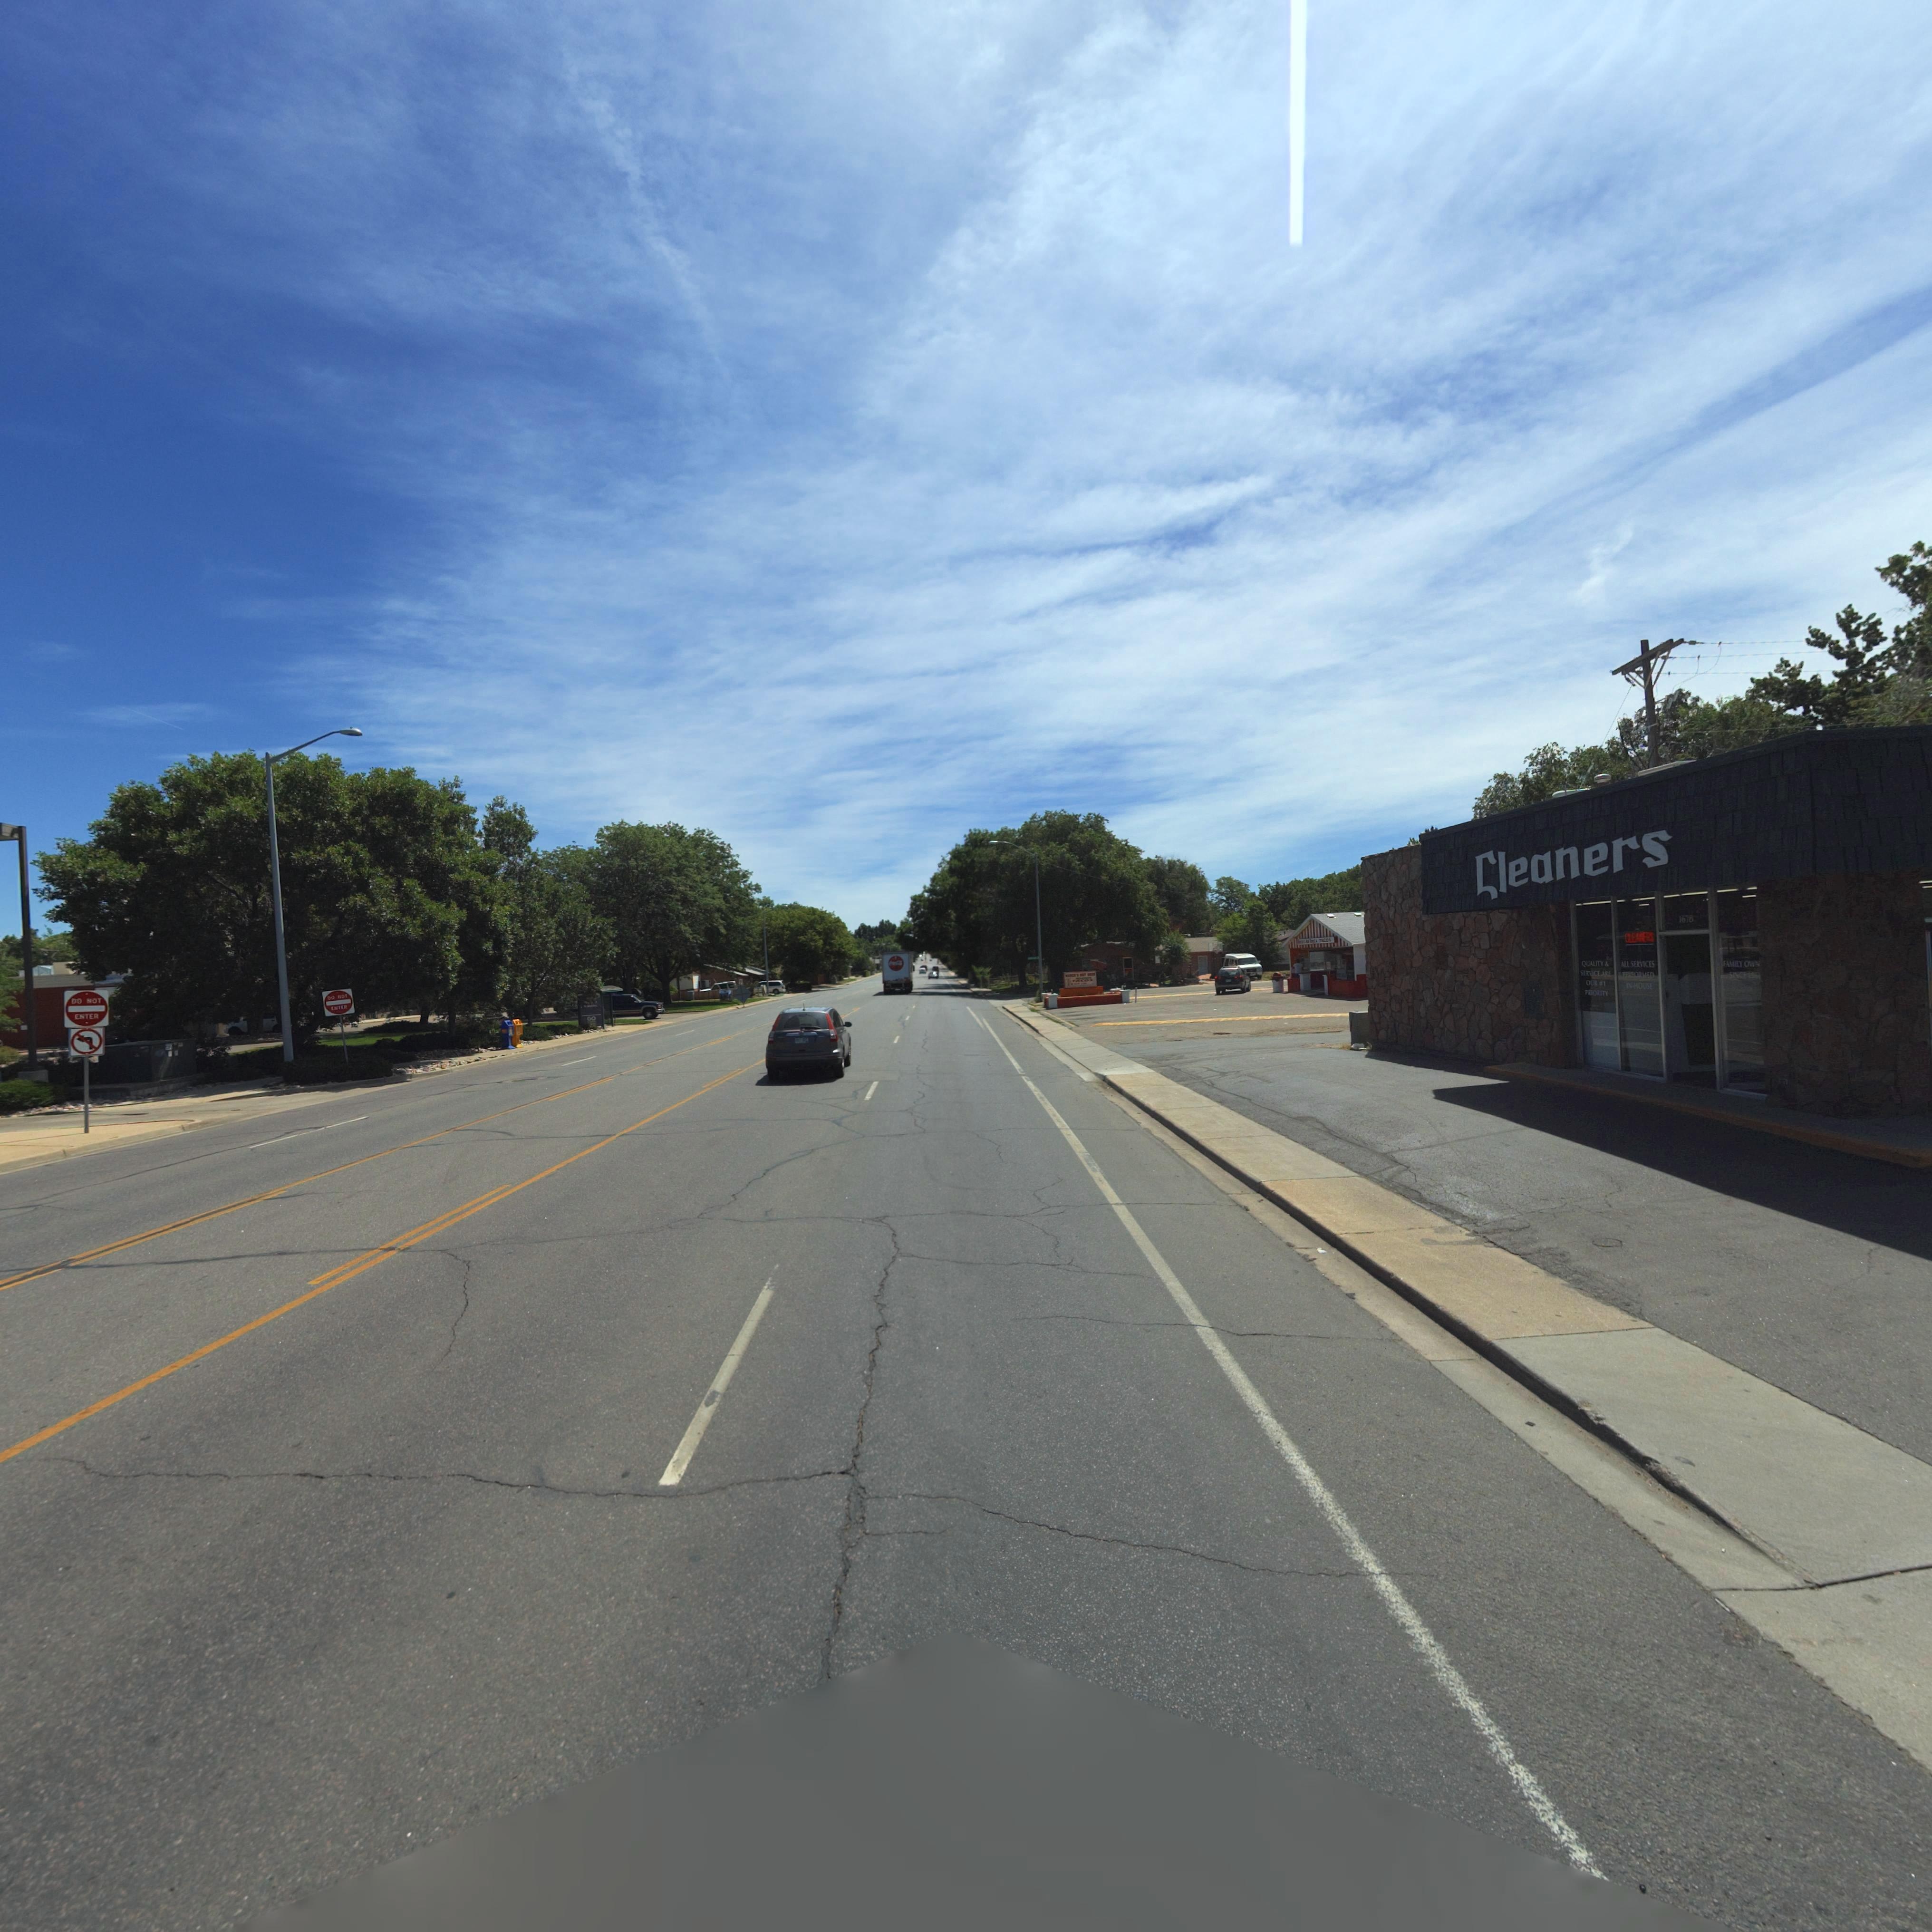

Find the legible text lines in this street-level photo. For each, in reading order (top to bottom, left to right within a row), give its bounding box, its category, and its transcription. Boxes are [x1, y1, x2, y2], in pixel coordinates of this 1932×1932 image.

[1679, 914, 1694, 923] StreetNumber: 1678
[1318, 937, 1332, 942] BusinessName: TACOS
[1065, 972, 1095, 977] BusinessName: *****S **T ***S
[1072, 978, 1092, 982] BusinessName: TACOS